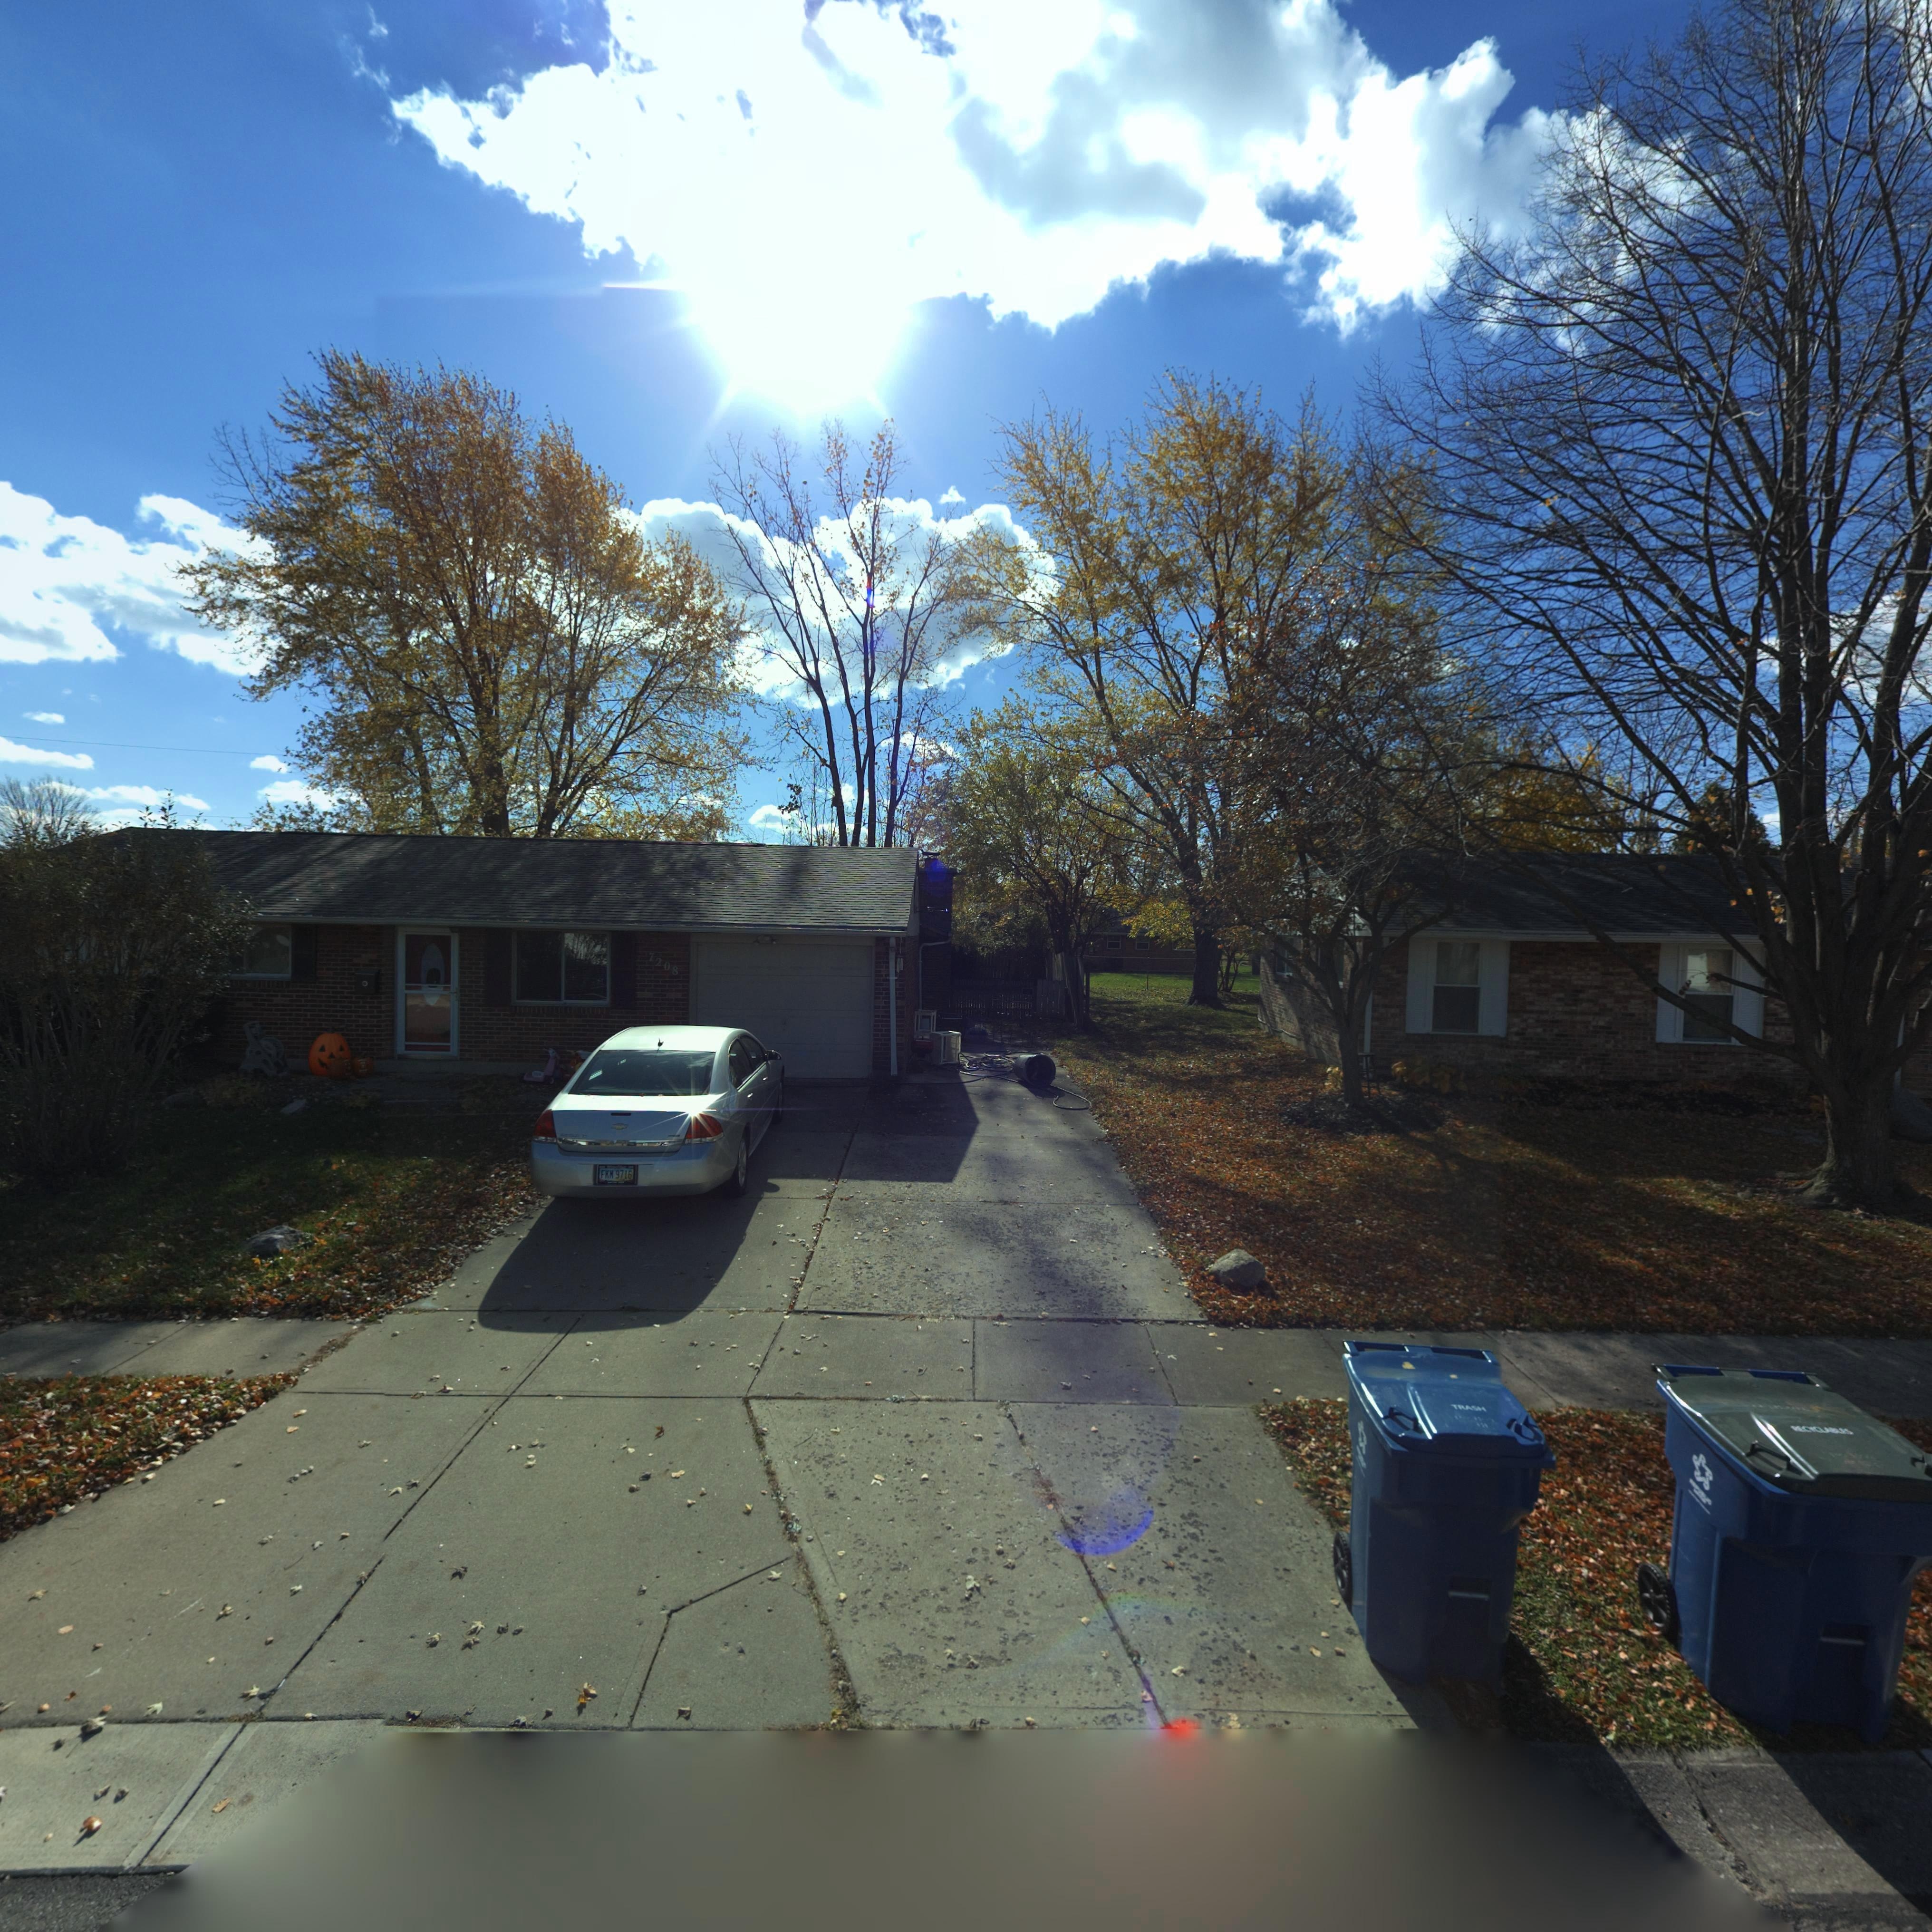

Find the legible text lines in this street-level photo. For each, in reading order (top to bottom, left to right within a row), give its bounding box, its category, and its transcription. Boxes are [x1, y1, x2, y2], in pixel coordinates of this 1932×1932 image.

[647, 952, 679, 977] StreetNumber: 7208